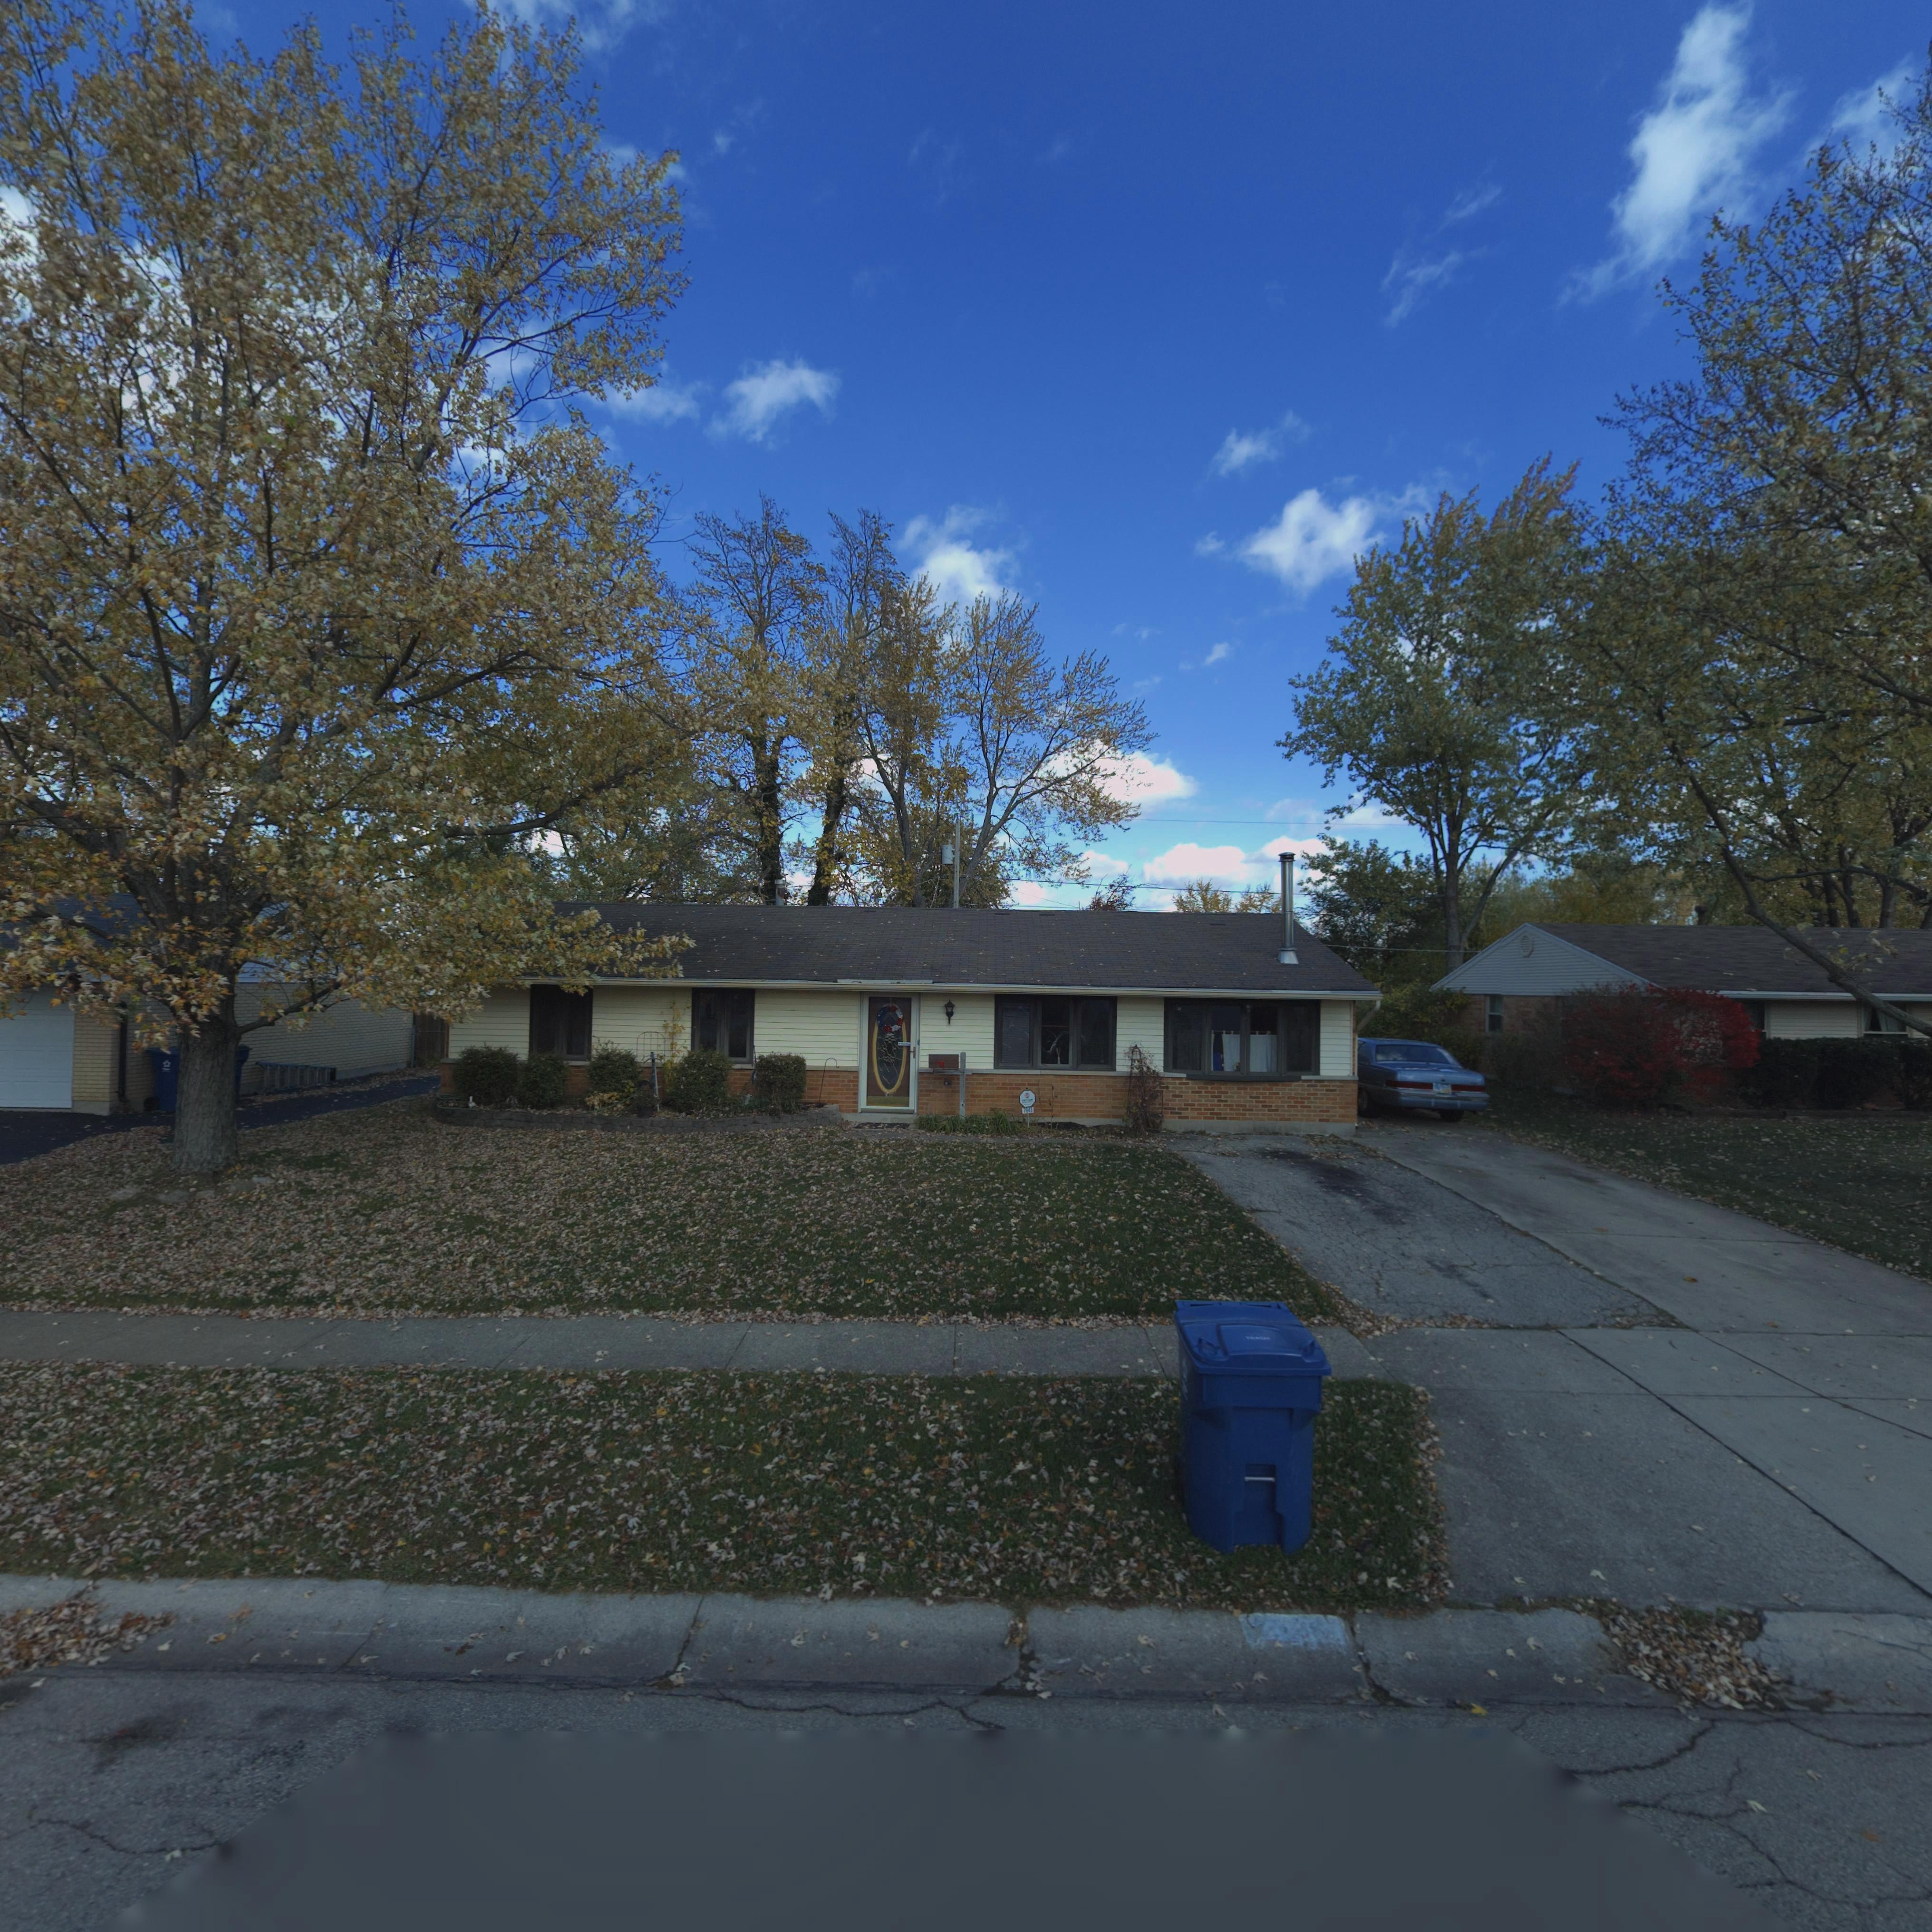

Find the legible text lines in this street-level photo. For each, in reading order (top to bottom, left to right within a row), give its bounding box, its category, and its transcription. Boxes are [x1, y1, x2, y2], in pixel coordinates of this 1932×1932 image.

[1023, 1106, 1033, 1113] StreetNumber: 7843